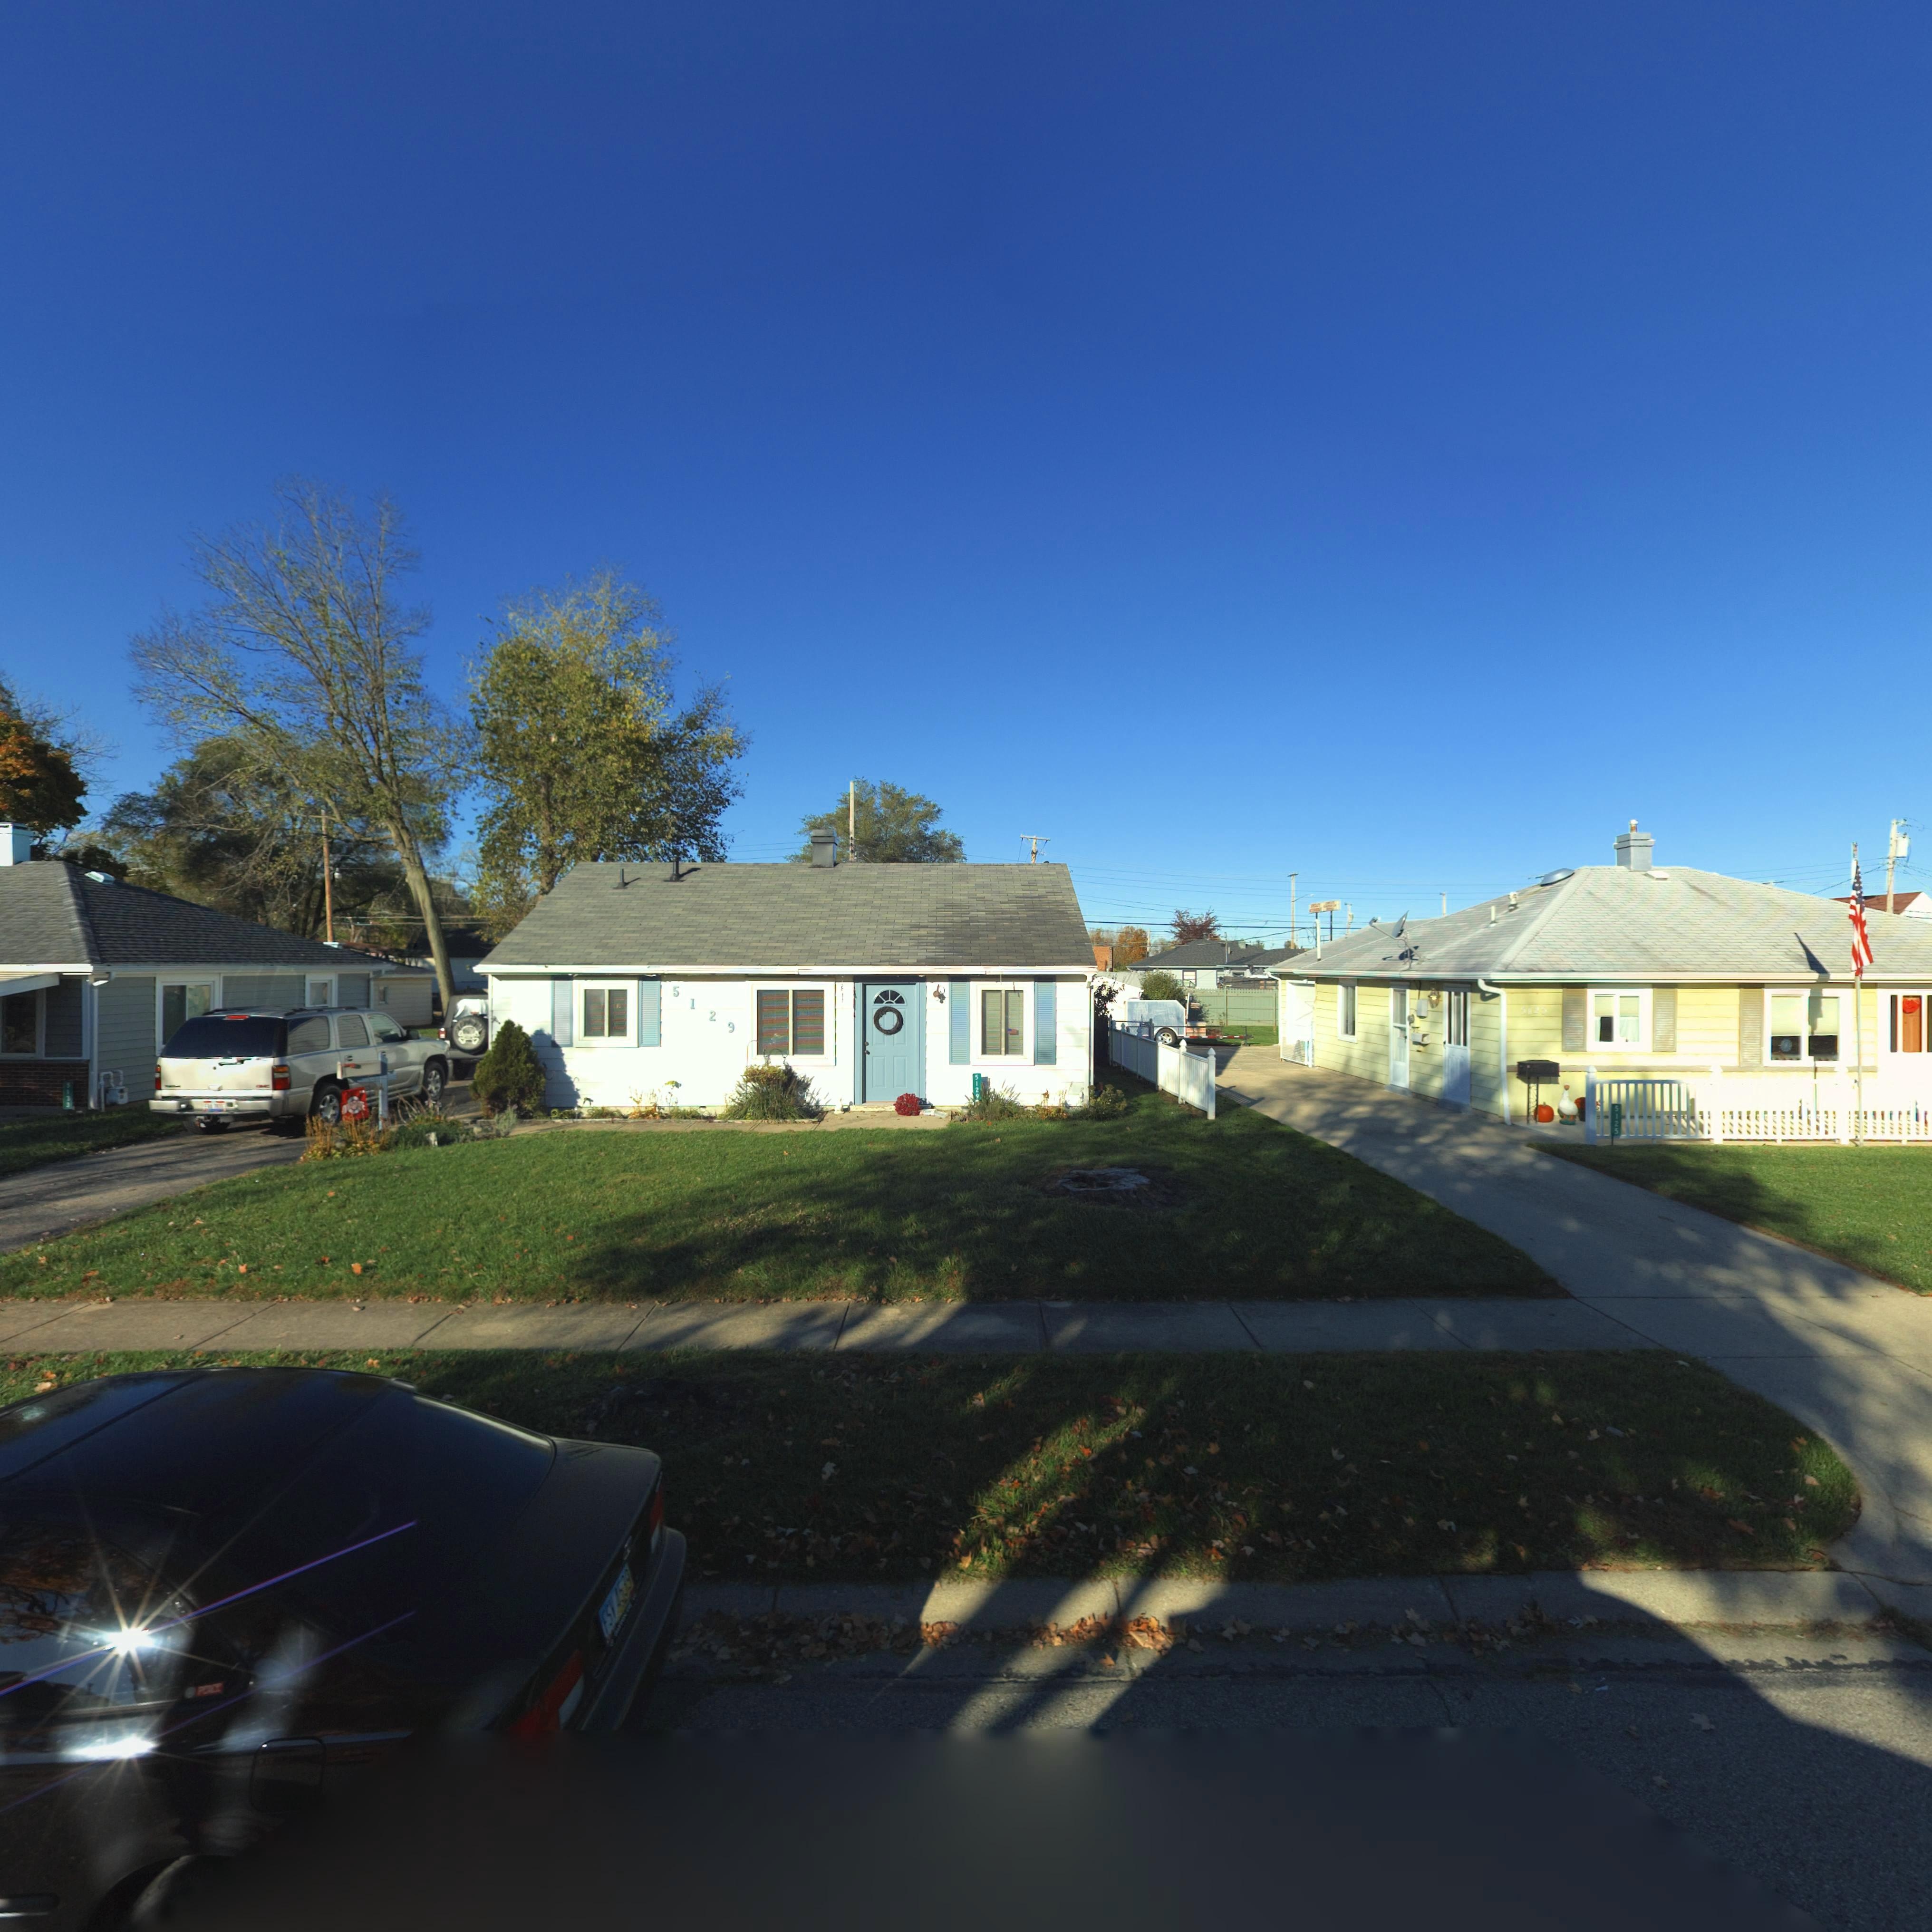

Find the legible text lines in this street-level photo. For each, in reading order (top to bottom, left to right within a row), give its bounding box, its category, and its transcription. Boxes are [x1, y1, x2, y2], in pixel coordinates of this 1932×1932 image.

[673, 985, 734, 1033] StreetNumber: 5129
[1520, 1005, 1547, 1015] StreetNumber: 5125
[65, 1082, 71, 1108] StreetNumber: 5133
[975, 1074, 979, 1099] StreetNumber: 5129
[1614, 1104, 1619, 1135] StreetNumber: 5125